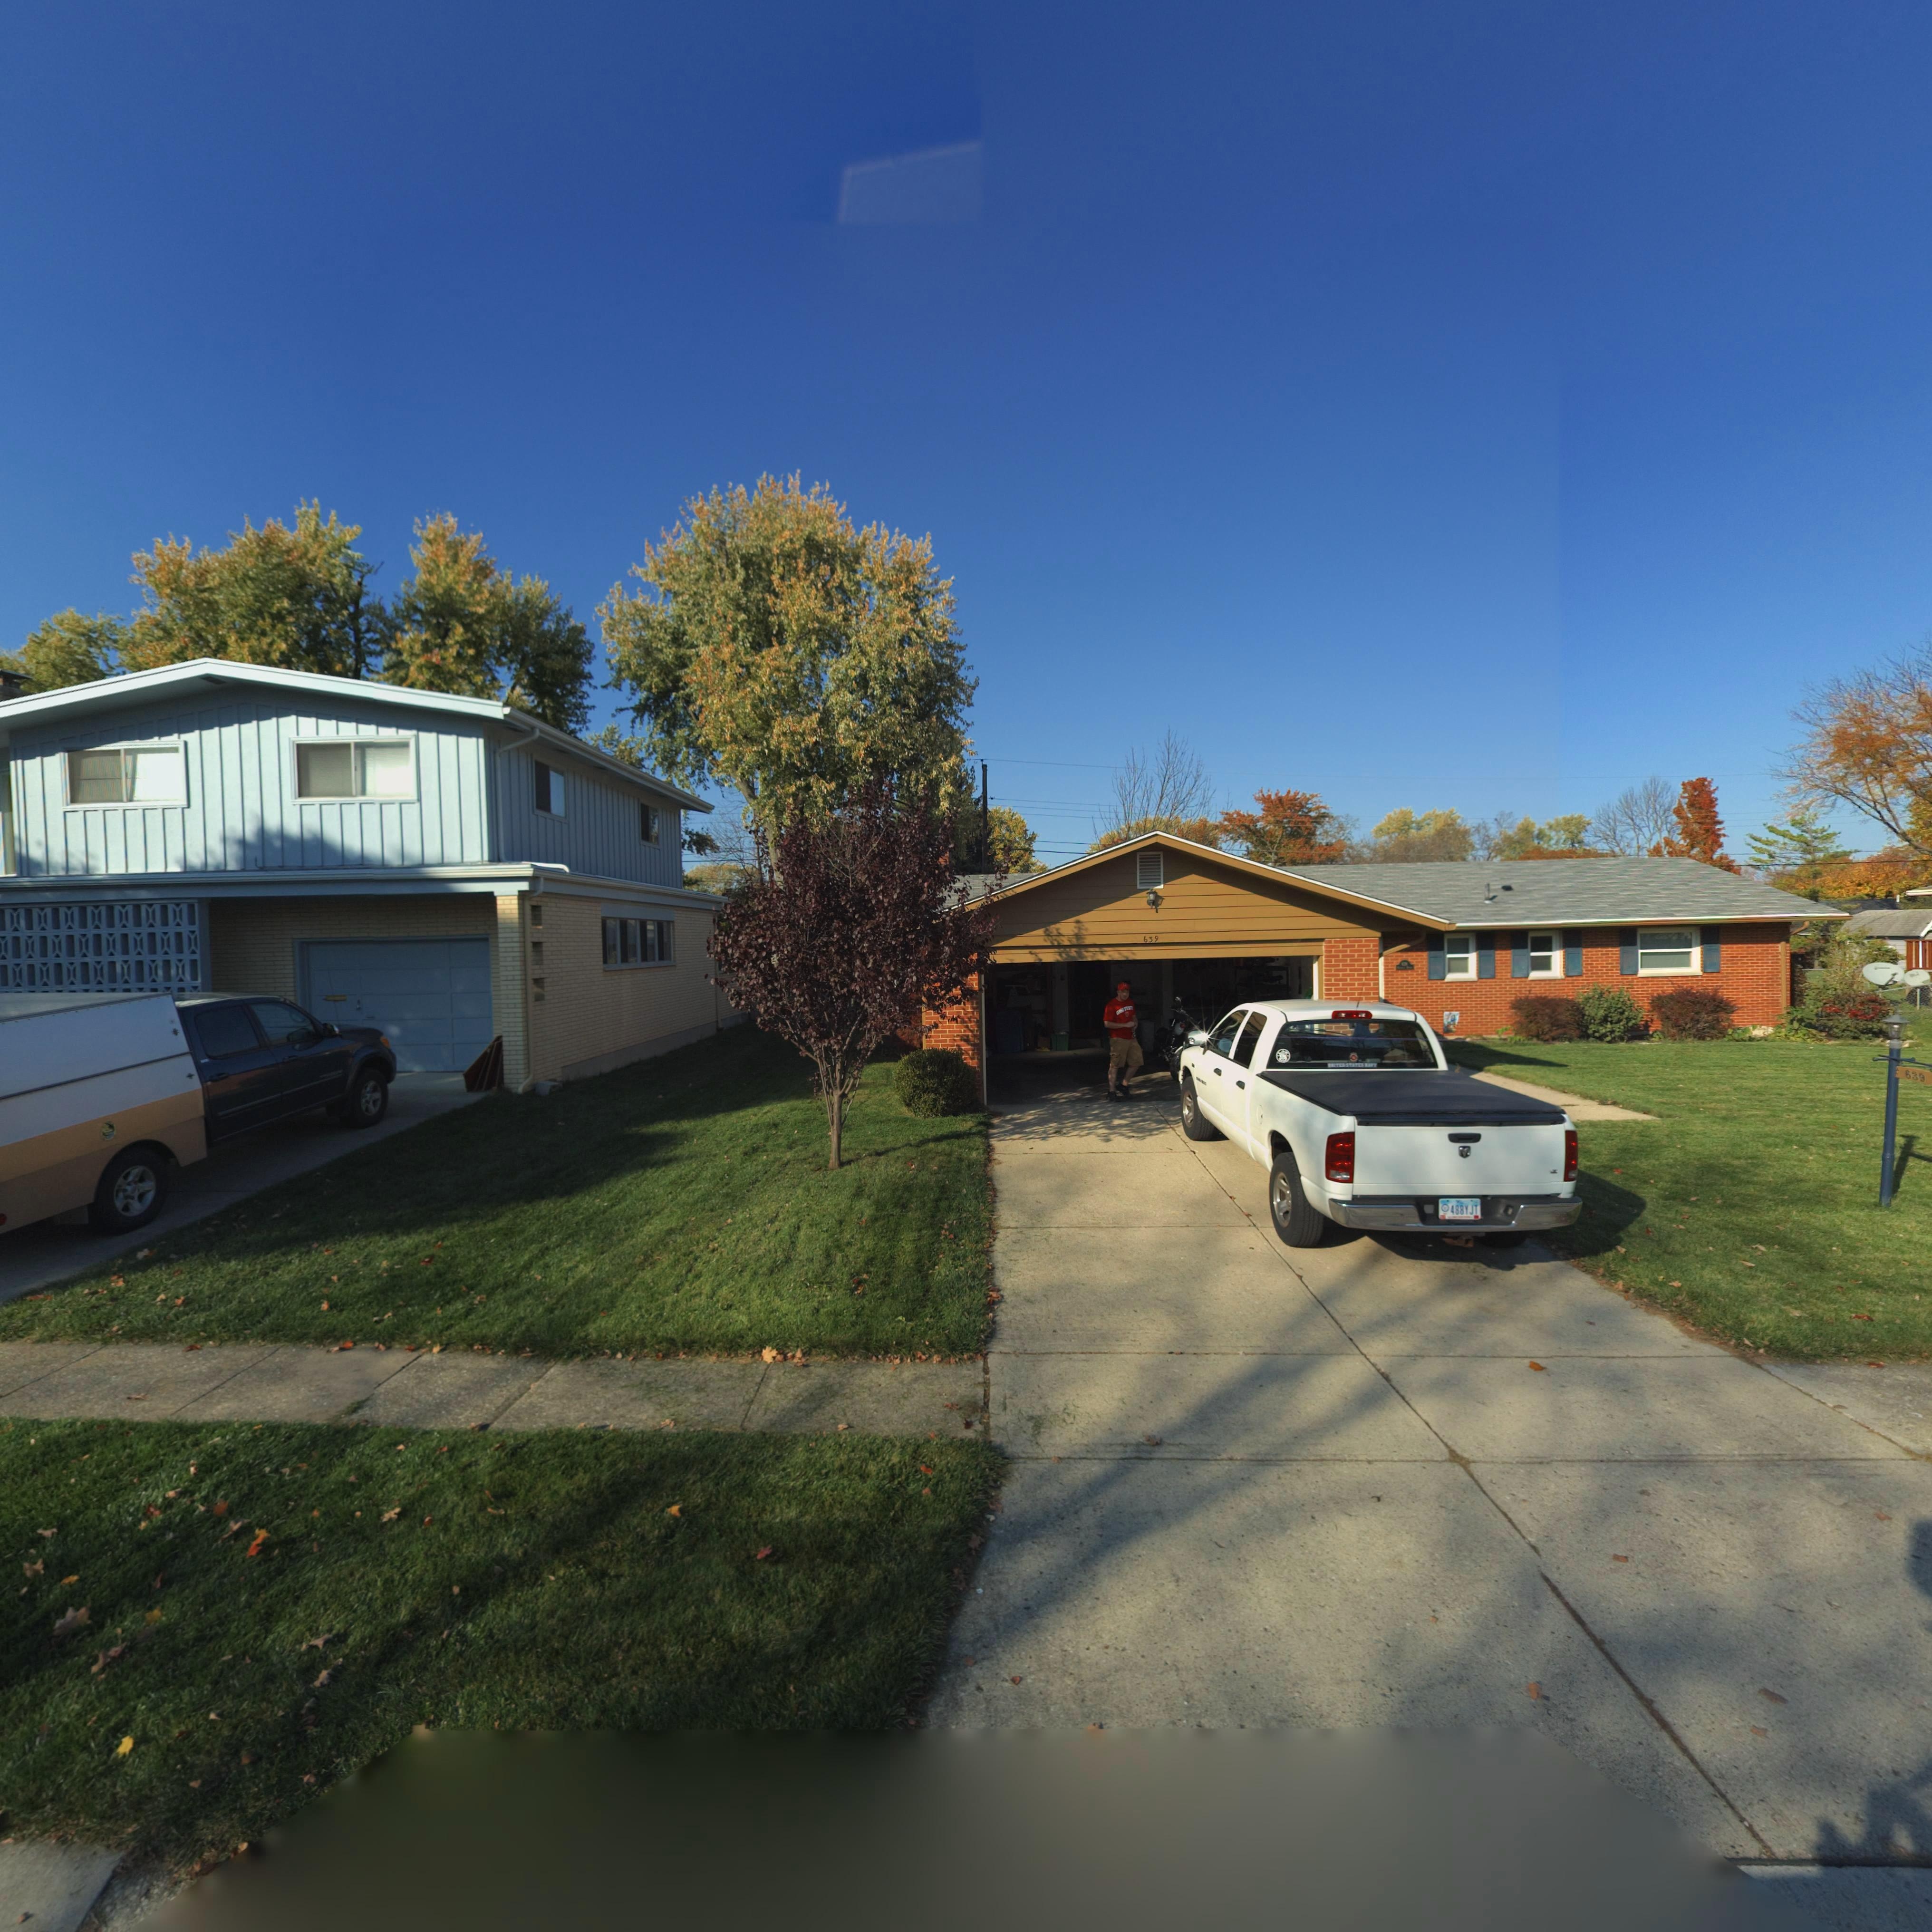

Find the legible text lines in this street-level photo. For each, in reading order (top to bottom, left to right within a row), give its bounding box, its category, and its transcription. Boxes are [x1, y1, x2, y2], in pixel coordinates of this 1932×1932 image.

[1143, 935, 1159, 943] StreetNumber: 639
[1401, 962, 1408, 966] StreetNumber: 6*9
[1905, 1069, 1926, 1083] StreetNumber: 639